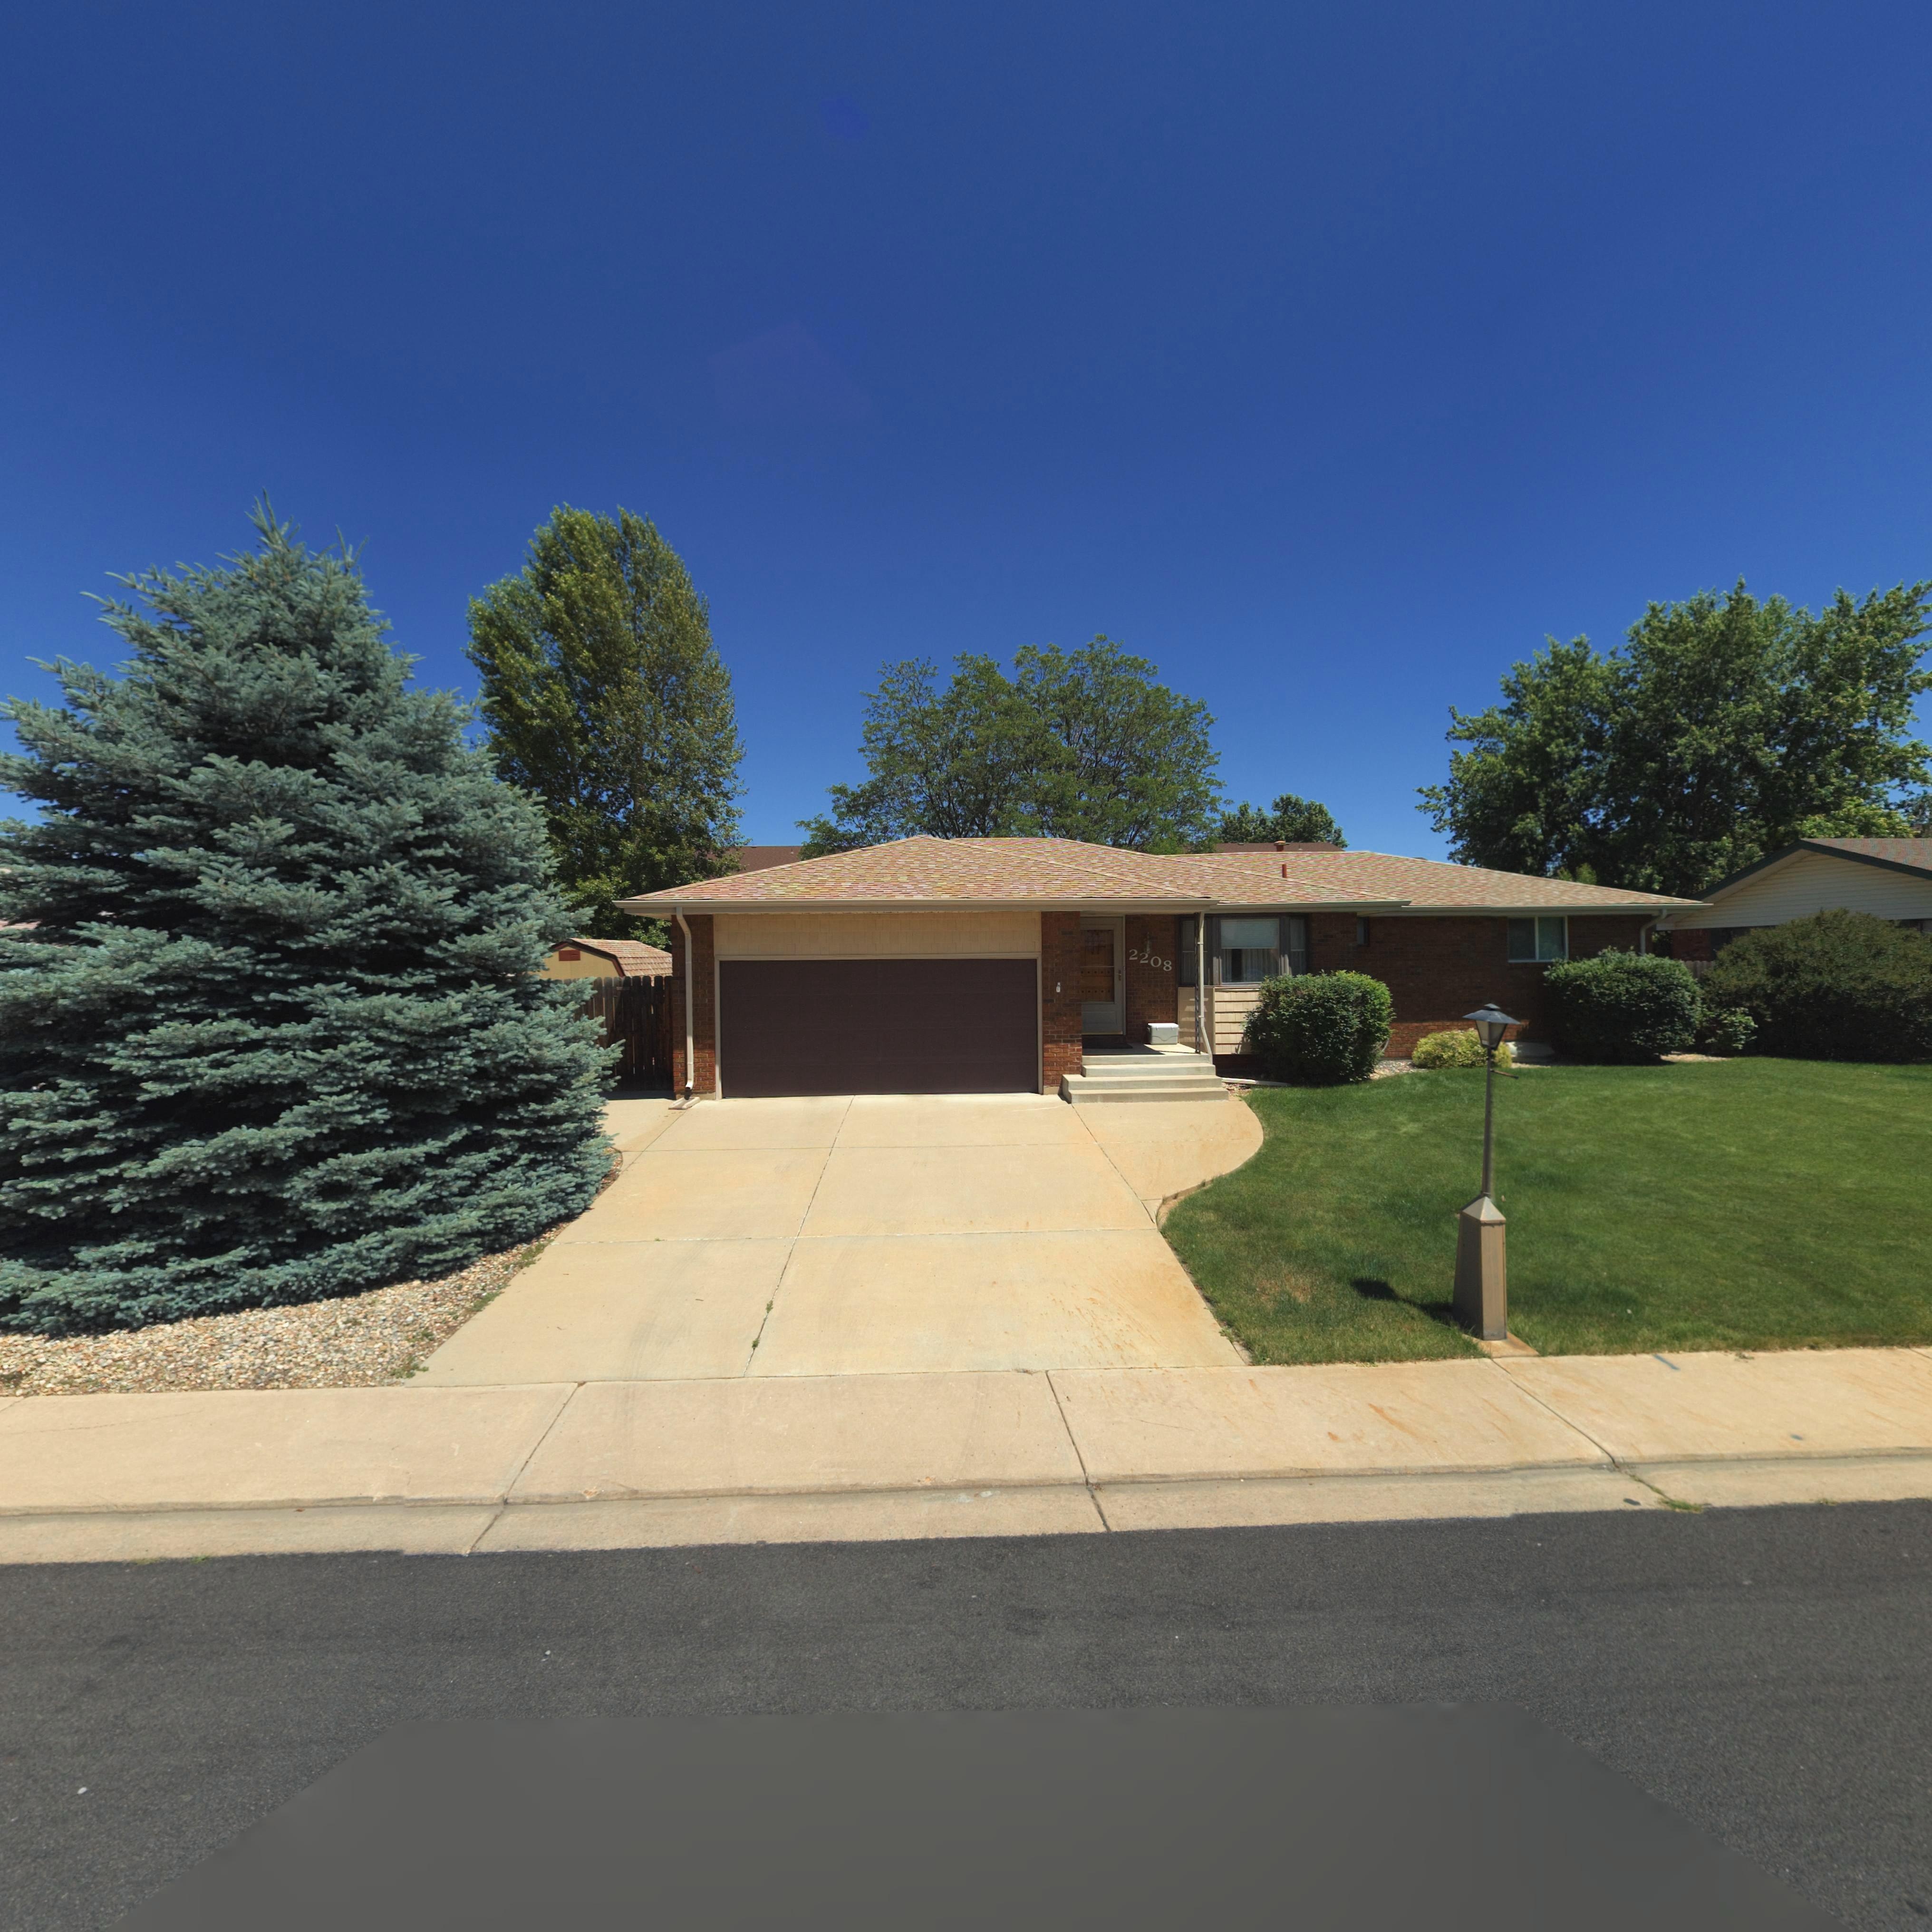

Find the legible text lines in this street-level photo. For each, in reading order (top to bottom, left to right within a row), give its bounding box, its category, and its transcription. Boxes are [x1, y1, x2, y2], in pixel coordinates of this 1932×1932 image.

[1128, 948, 1173, 972] StreetNumber: 2208